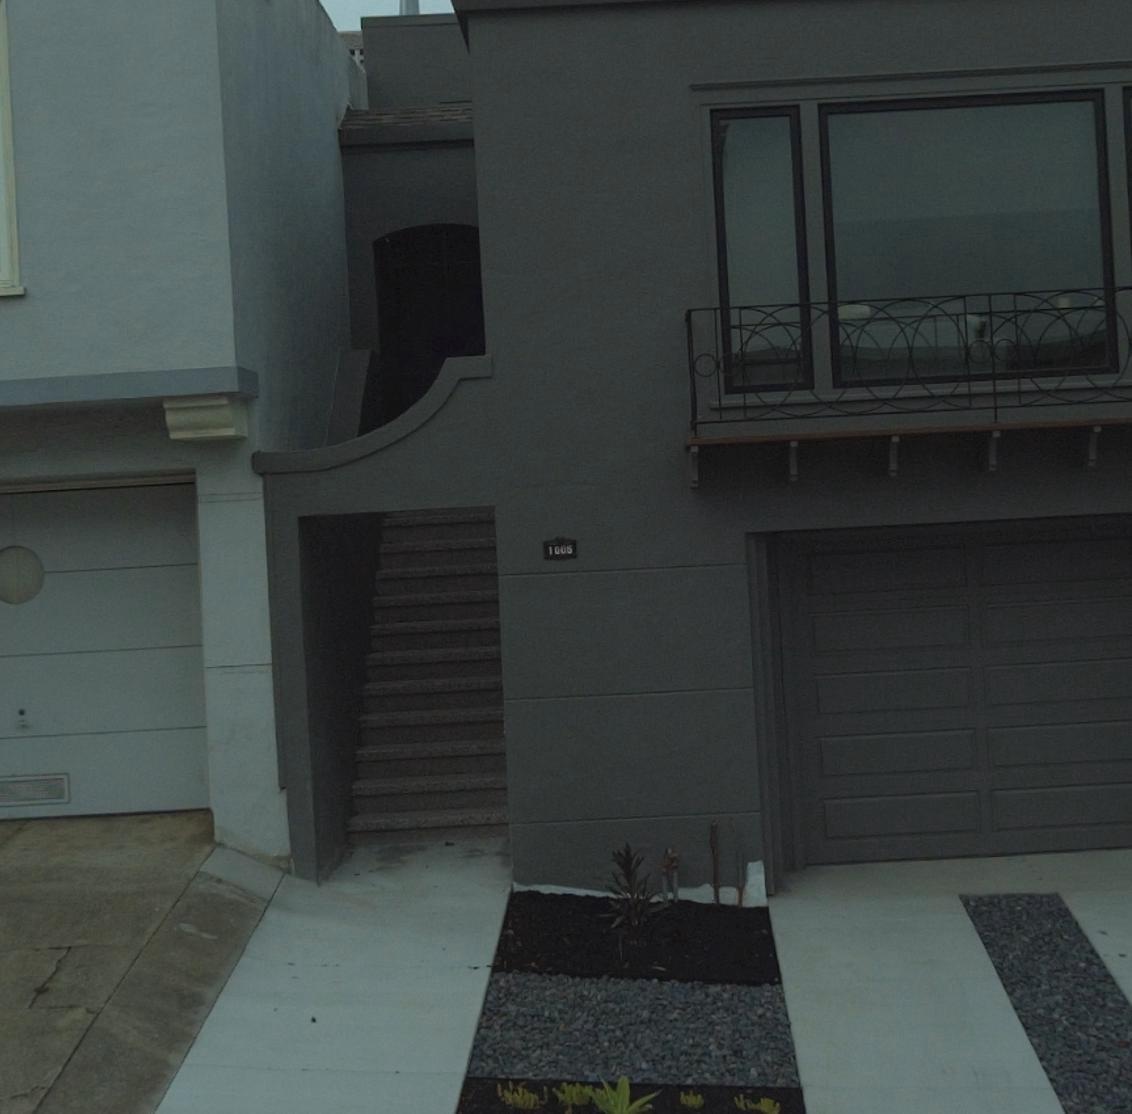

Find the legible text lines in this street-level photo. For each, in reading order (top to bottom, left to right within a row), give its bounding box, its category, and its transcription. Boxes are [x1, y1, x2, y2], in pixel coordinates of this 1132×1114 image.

[547, 543, 574, 557] StreetNumber: 1005